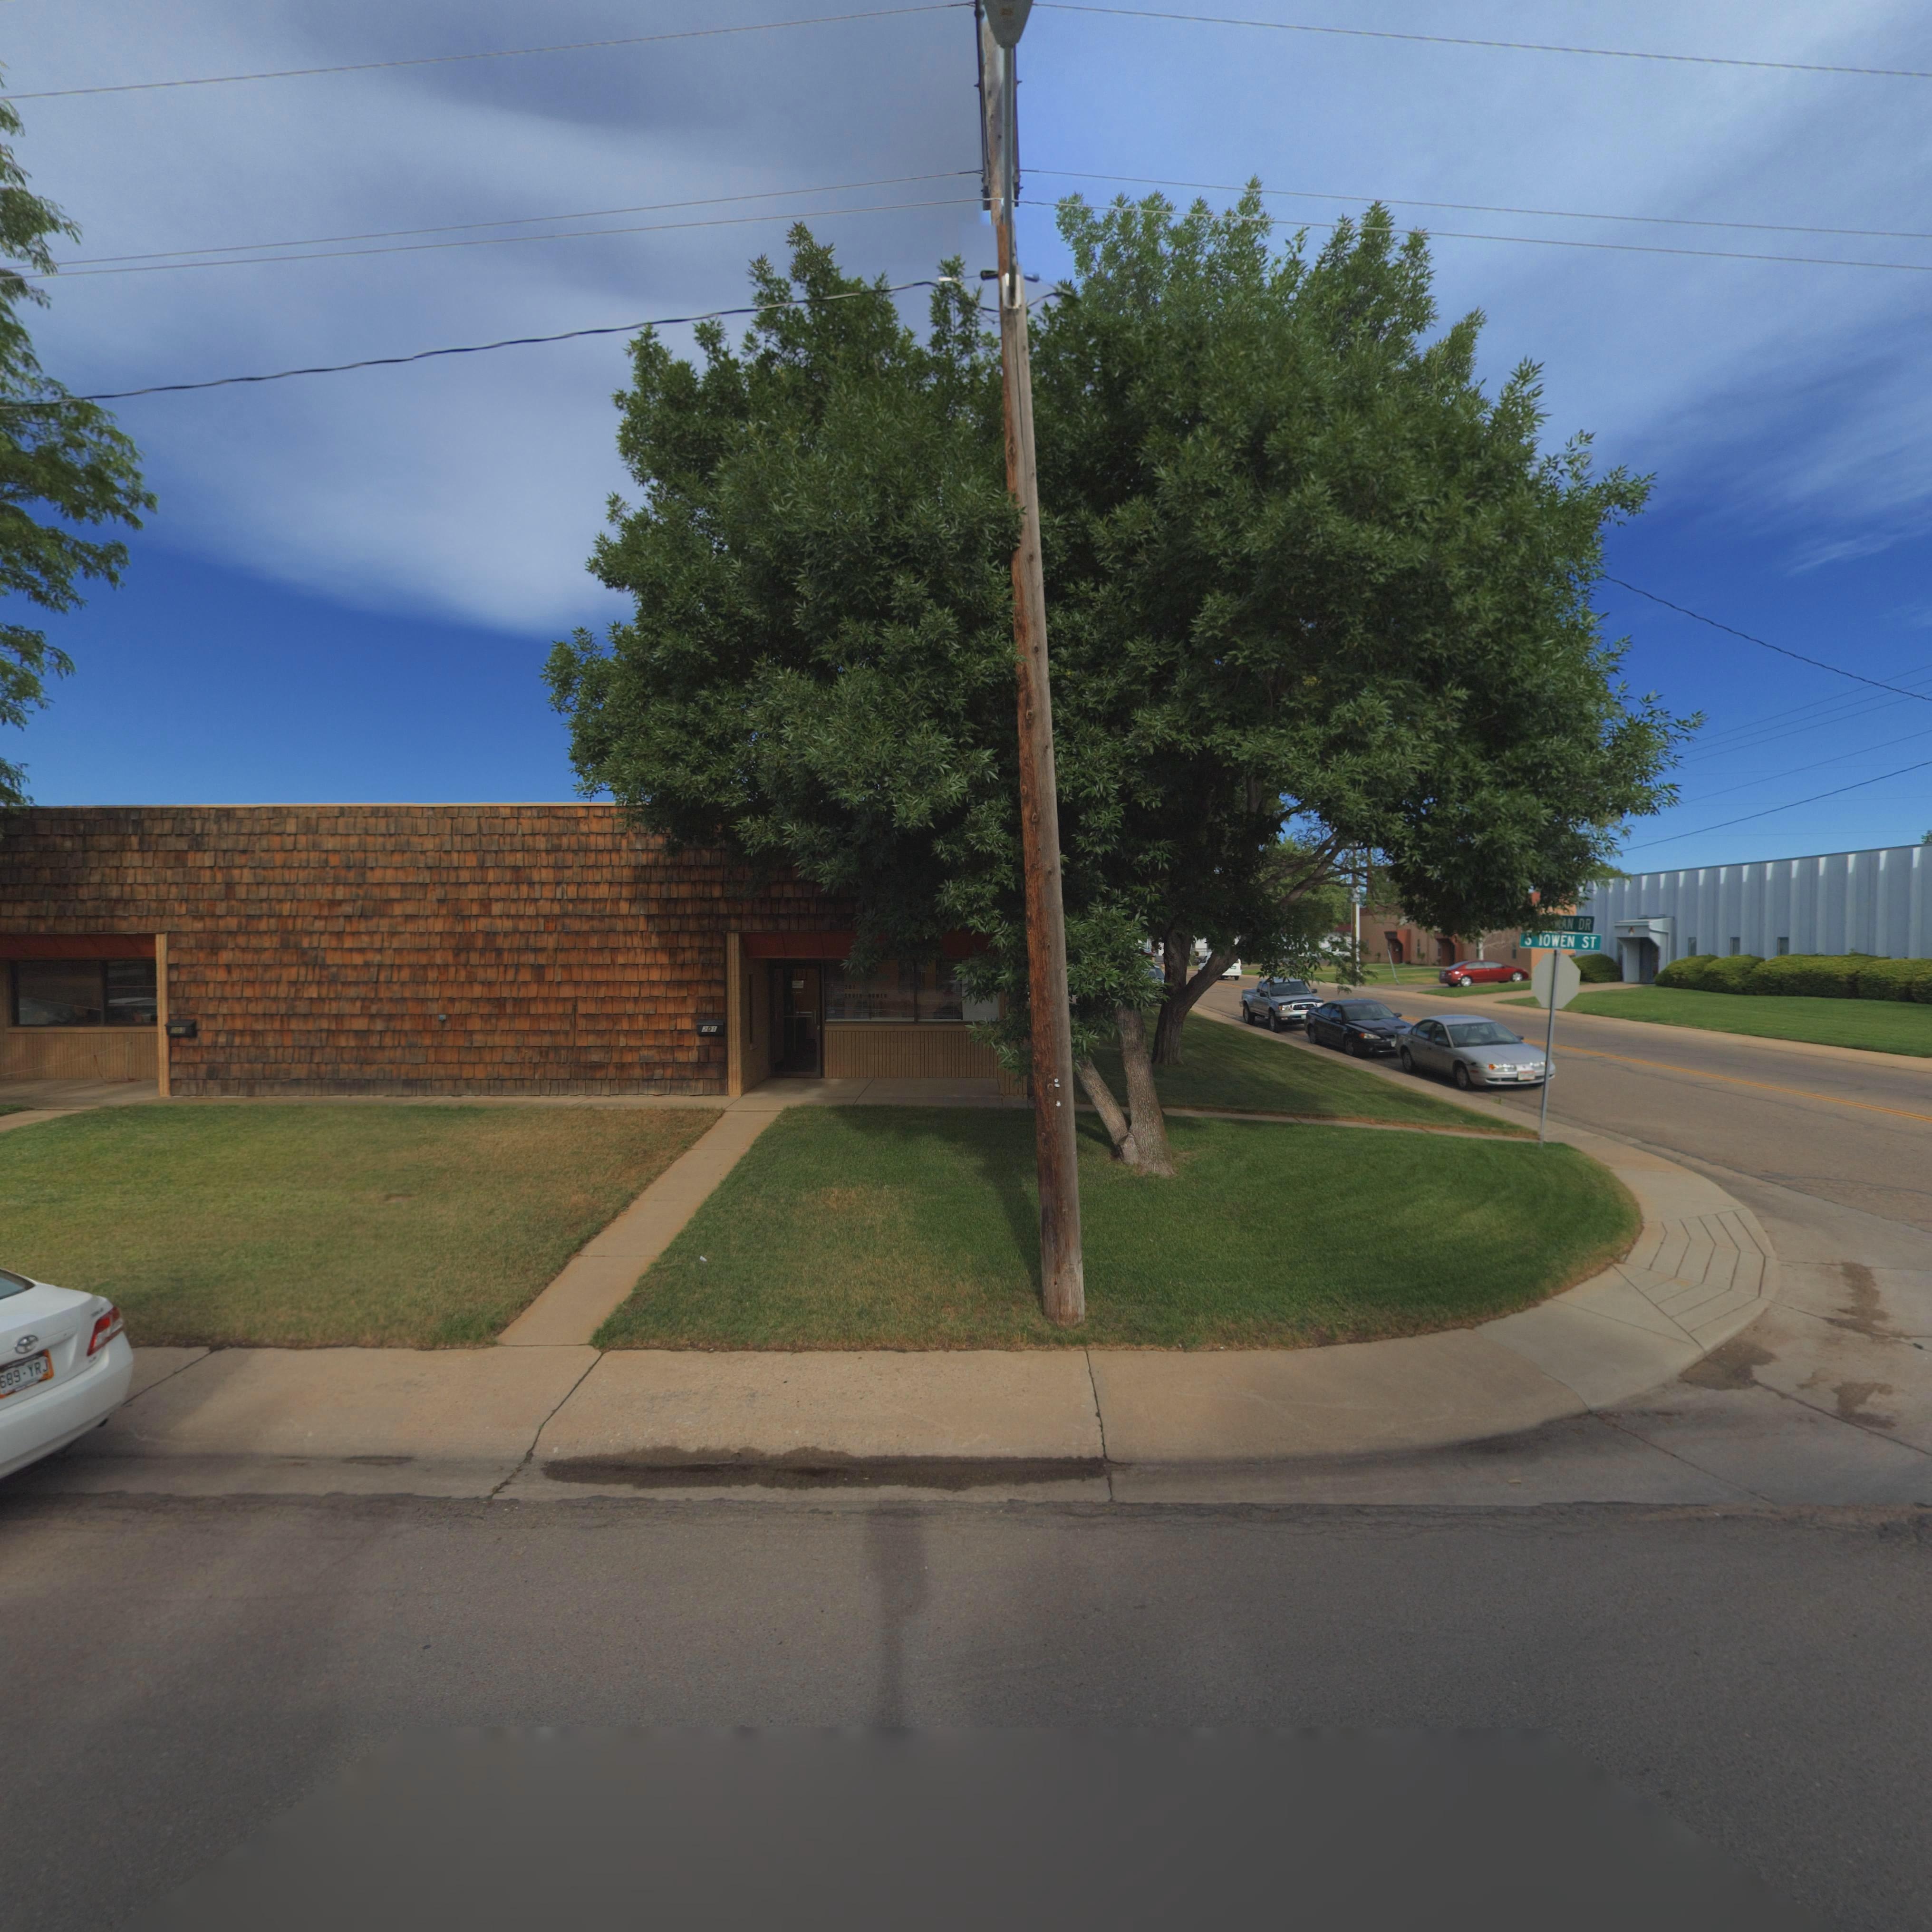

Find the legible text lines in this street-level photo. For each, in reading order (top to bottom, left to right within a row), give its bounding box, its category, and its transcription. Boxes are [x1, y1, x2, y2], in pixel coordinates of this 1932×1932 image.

[1561, 917, 1592, 931] StreetName: AN DR
[1524, 933, 1597, 949] StreetName: S *OWEN ST
[844, 984, 855, 989] StreetNumber: 2*1
[843, 993, 887, 998] StreetName: SOUTH BOW*N
[169, 1026, 185, 1034] StreetNumber: *0*
[701, 1025, 716, 1032] StreetNumber: 201